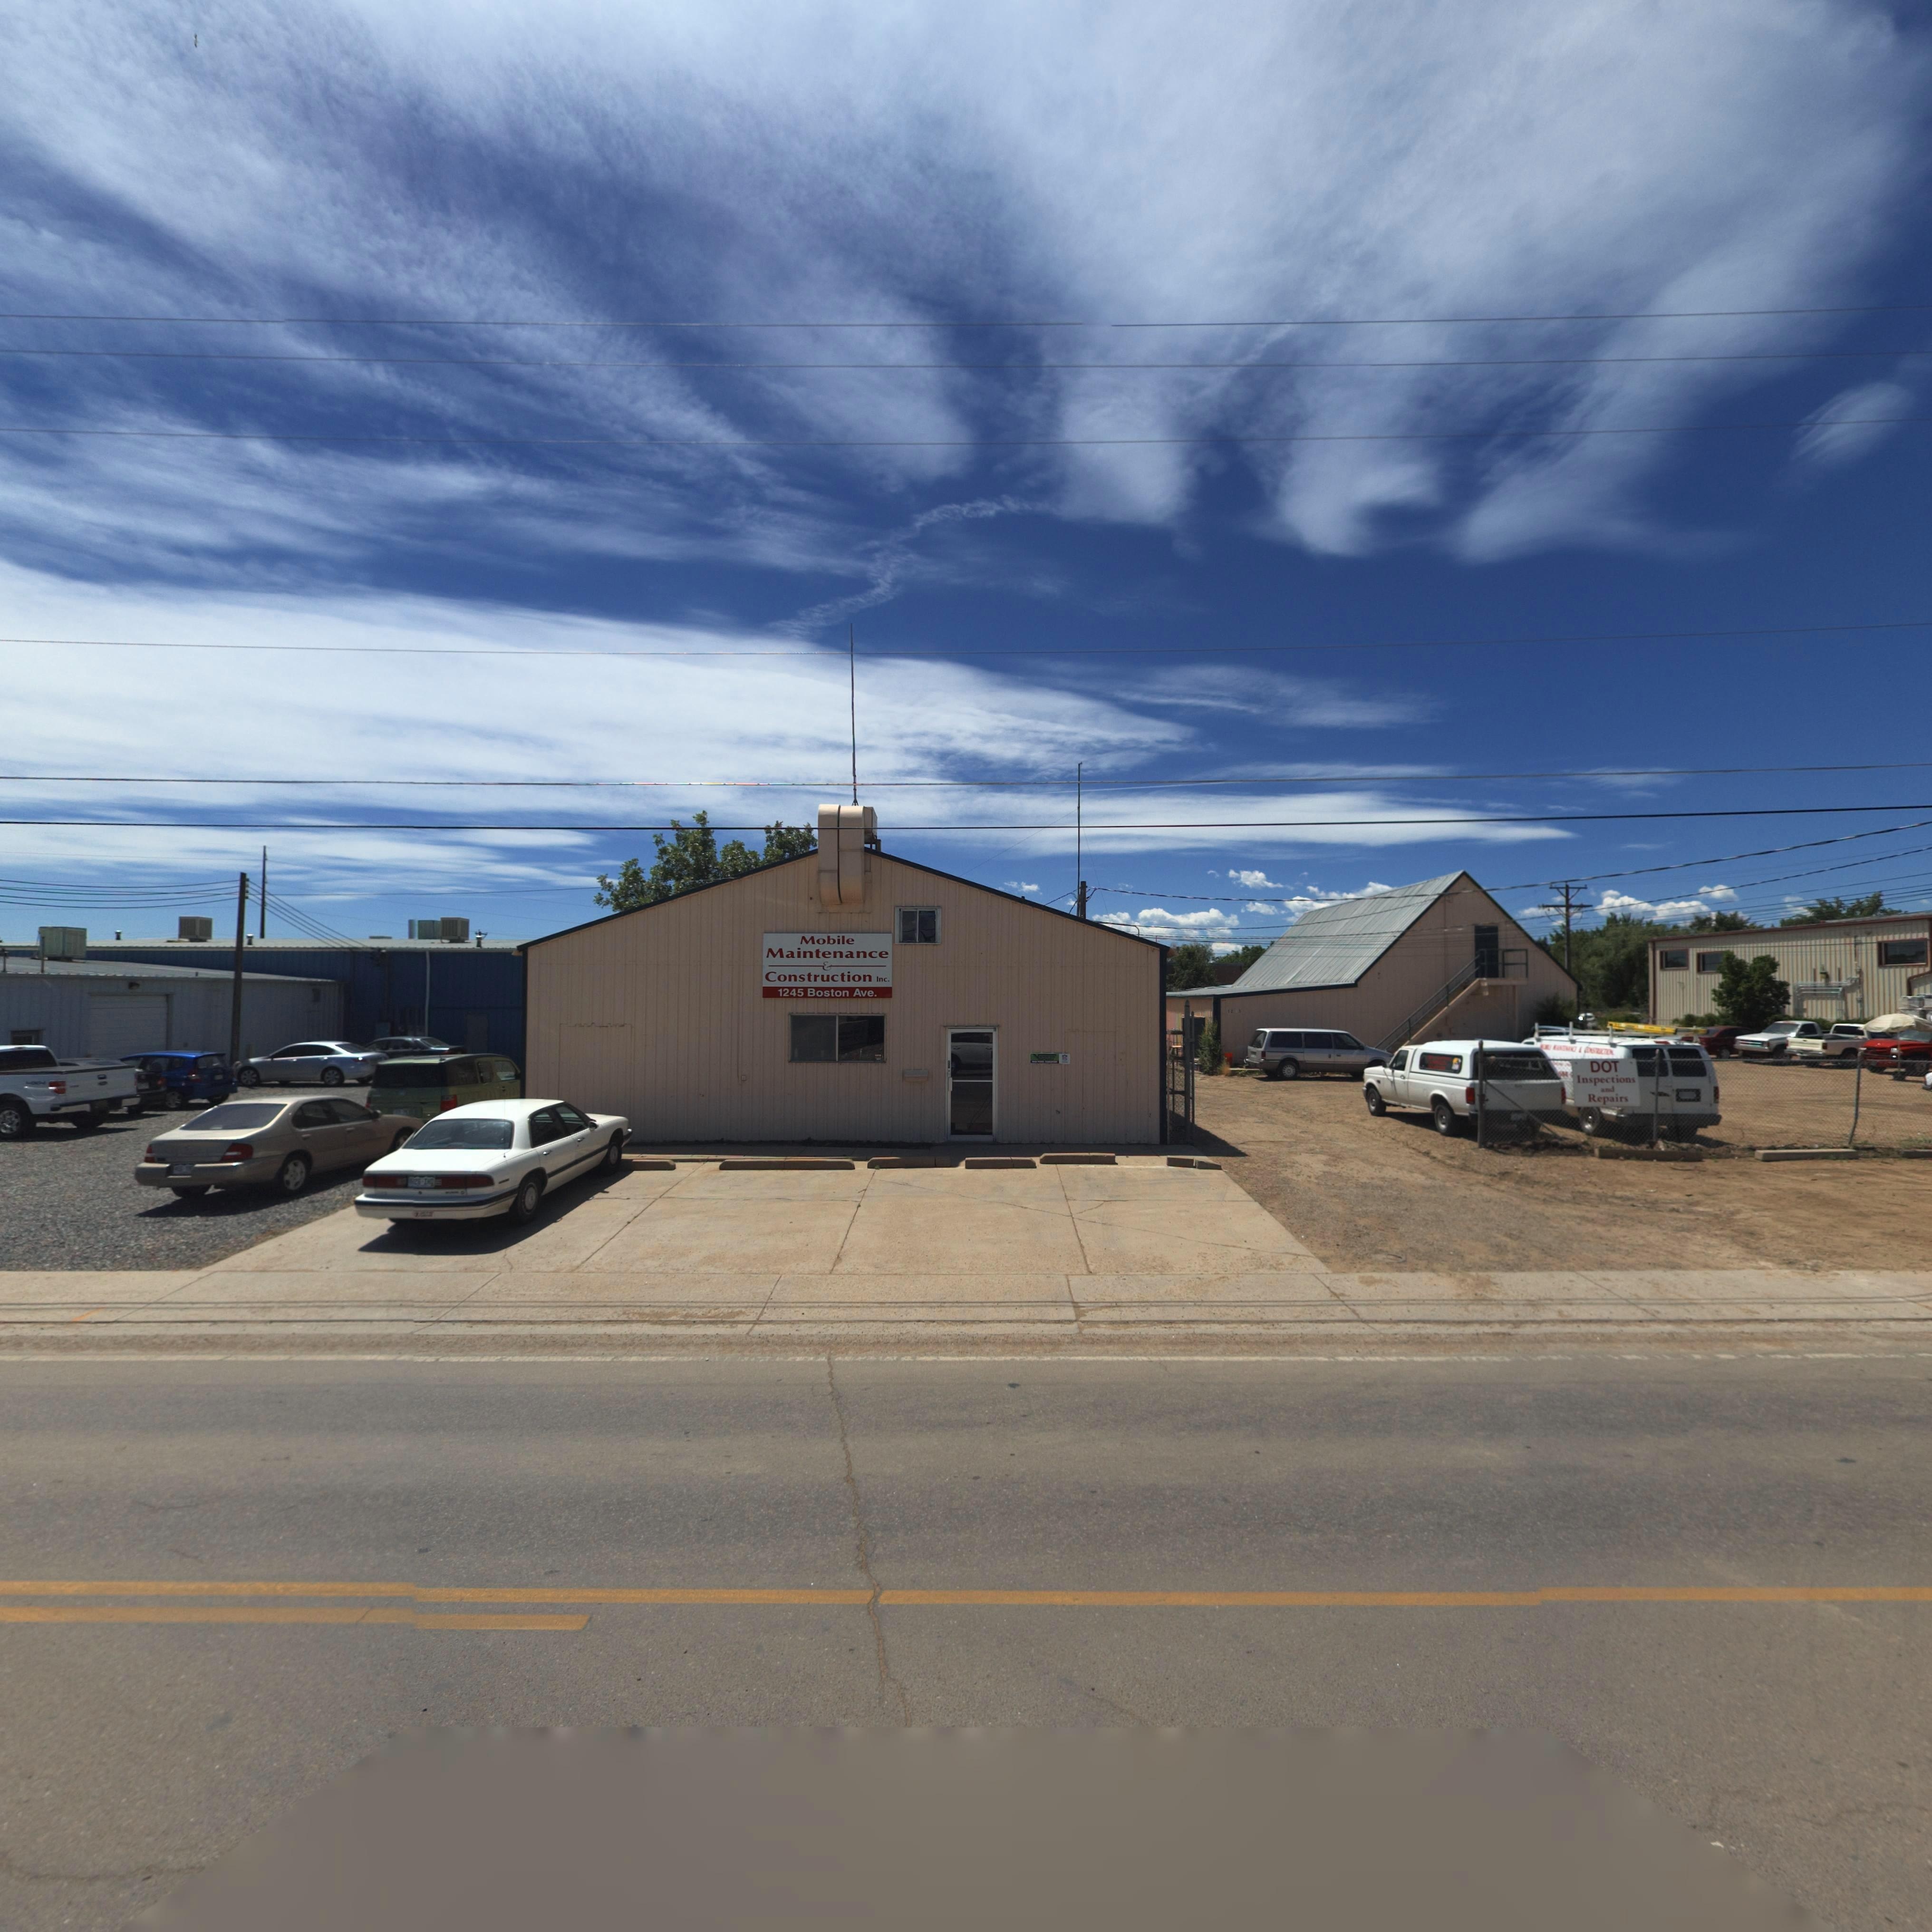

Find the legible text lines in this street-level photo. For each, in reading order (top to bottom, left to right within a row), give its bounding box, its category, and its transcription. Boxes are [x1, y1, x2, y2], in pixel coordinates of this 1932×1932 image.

[799, 934, 856, 946] BusinessName: Mobile
[765, 946, 889, 959] BusinessName: Maintenance
[764, 970, 890, 983] BusinessName: Construction Inc.
[774, 987, 804, 997] StreetNumber: 1245
[805, 986, 878, 998] StreetName: Boston Ave.
[1227, 1009, 1241, 1013] StreetNumber: 12 3
[1588, 1060, 1620, 1073] BusinessName: DOT
[1575, 1073, 1637, 1086] BusinessName: Inspections
[1600, 1085, 1615, 1092] BusinessName: and
[1586, 1093, 1629, 1107] BusinessName: Repairs